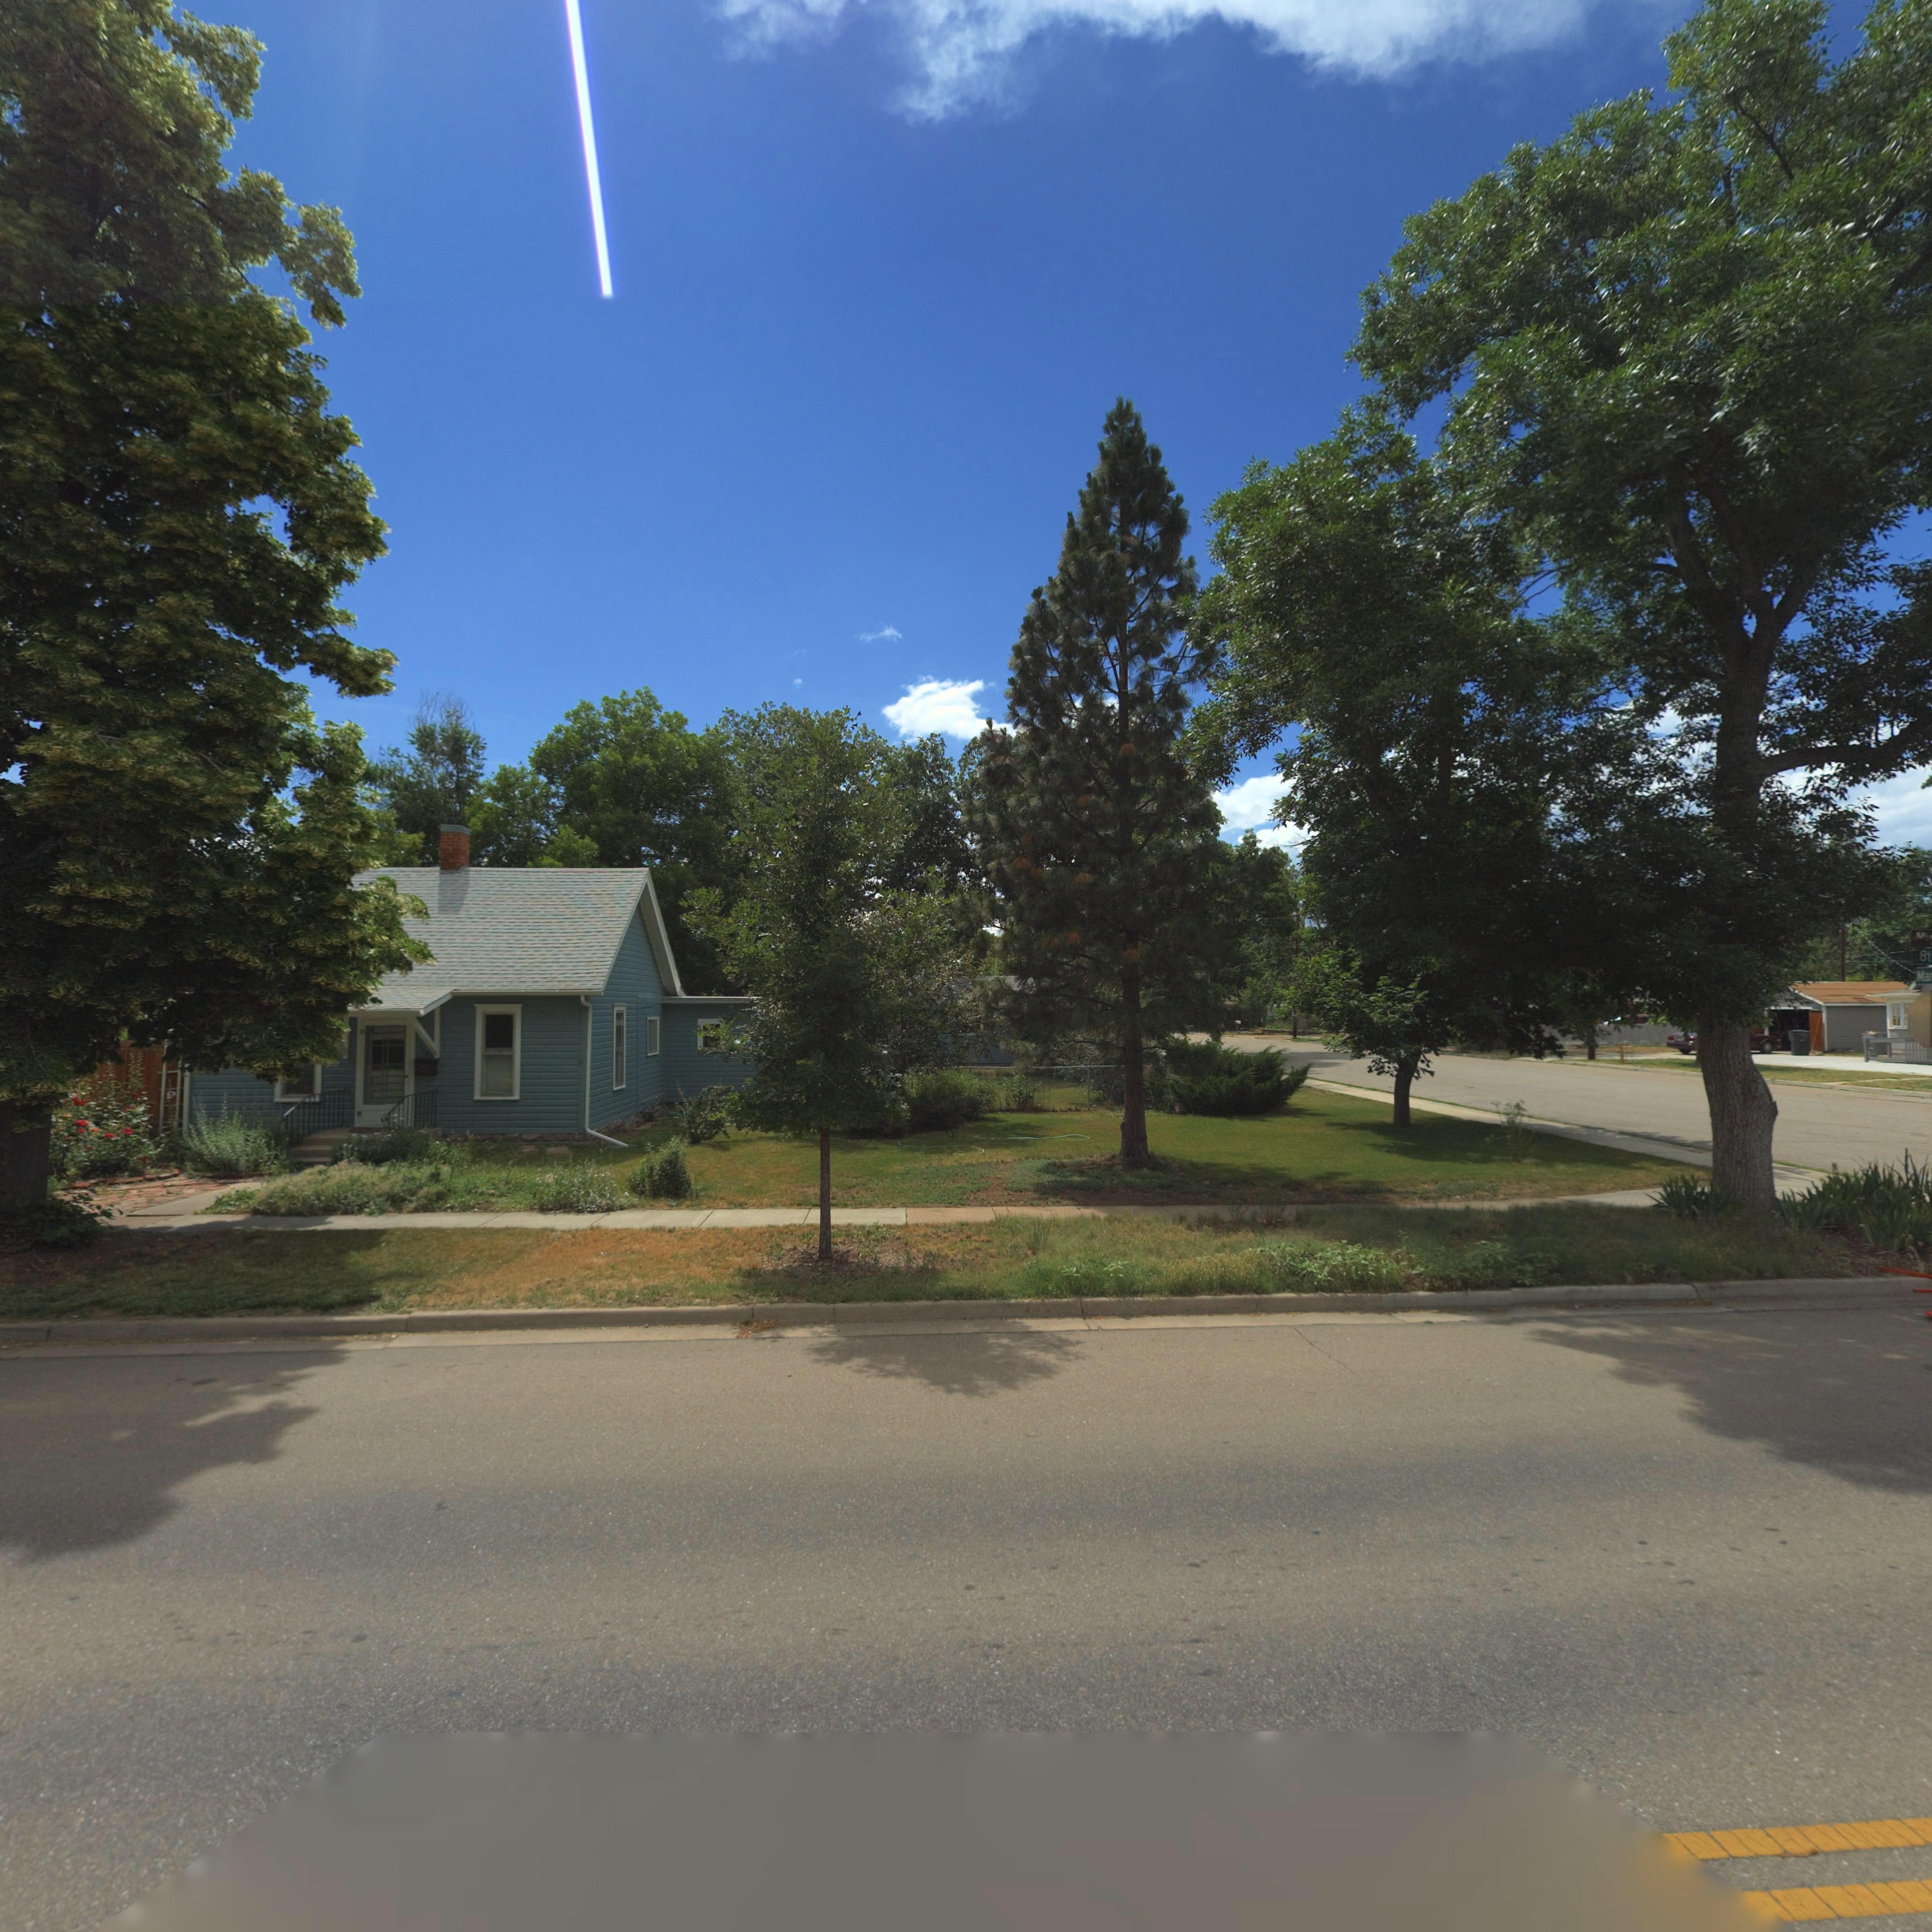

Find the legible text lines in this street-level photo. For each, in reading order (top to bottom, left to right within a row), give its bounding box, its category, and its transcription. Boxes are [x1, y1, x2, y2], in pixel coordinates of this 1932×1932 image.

[1919, 949, 1927, 962] StreetName: 8
[1916, 969, 1929, 982] StreetName: Ma